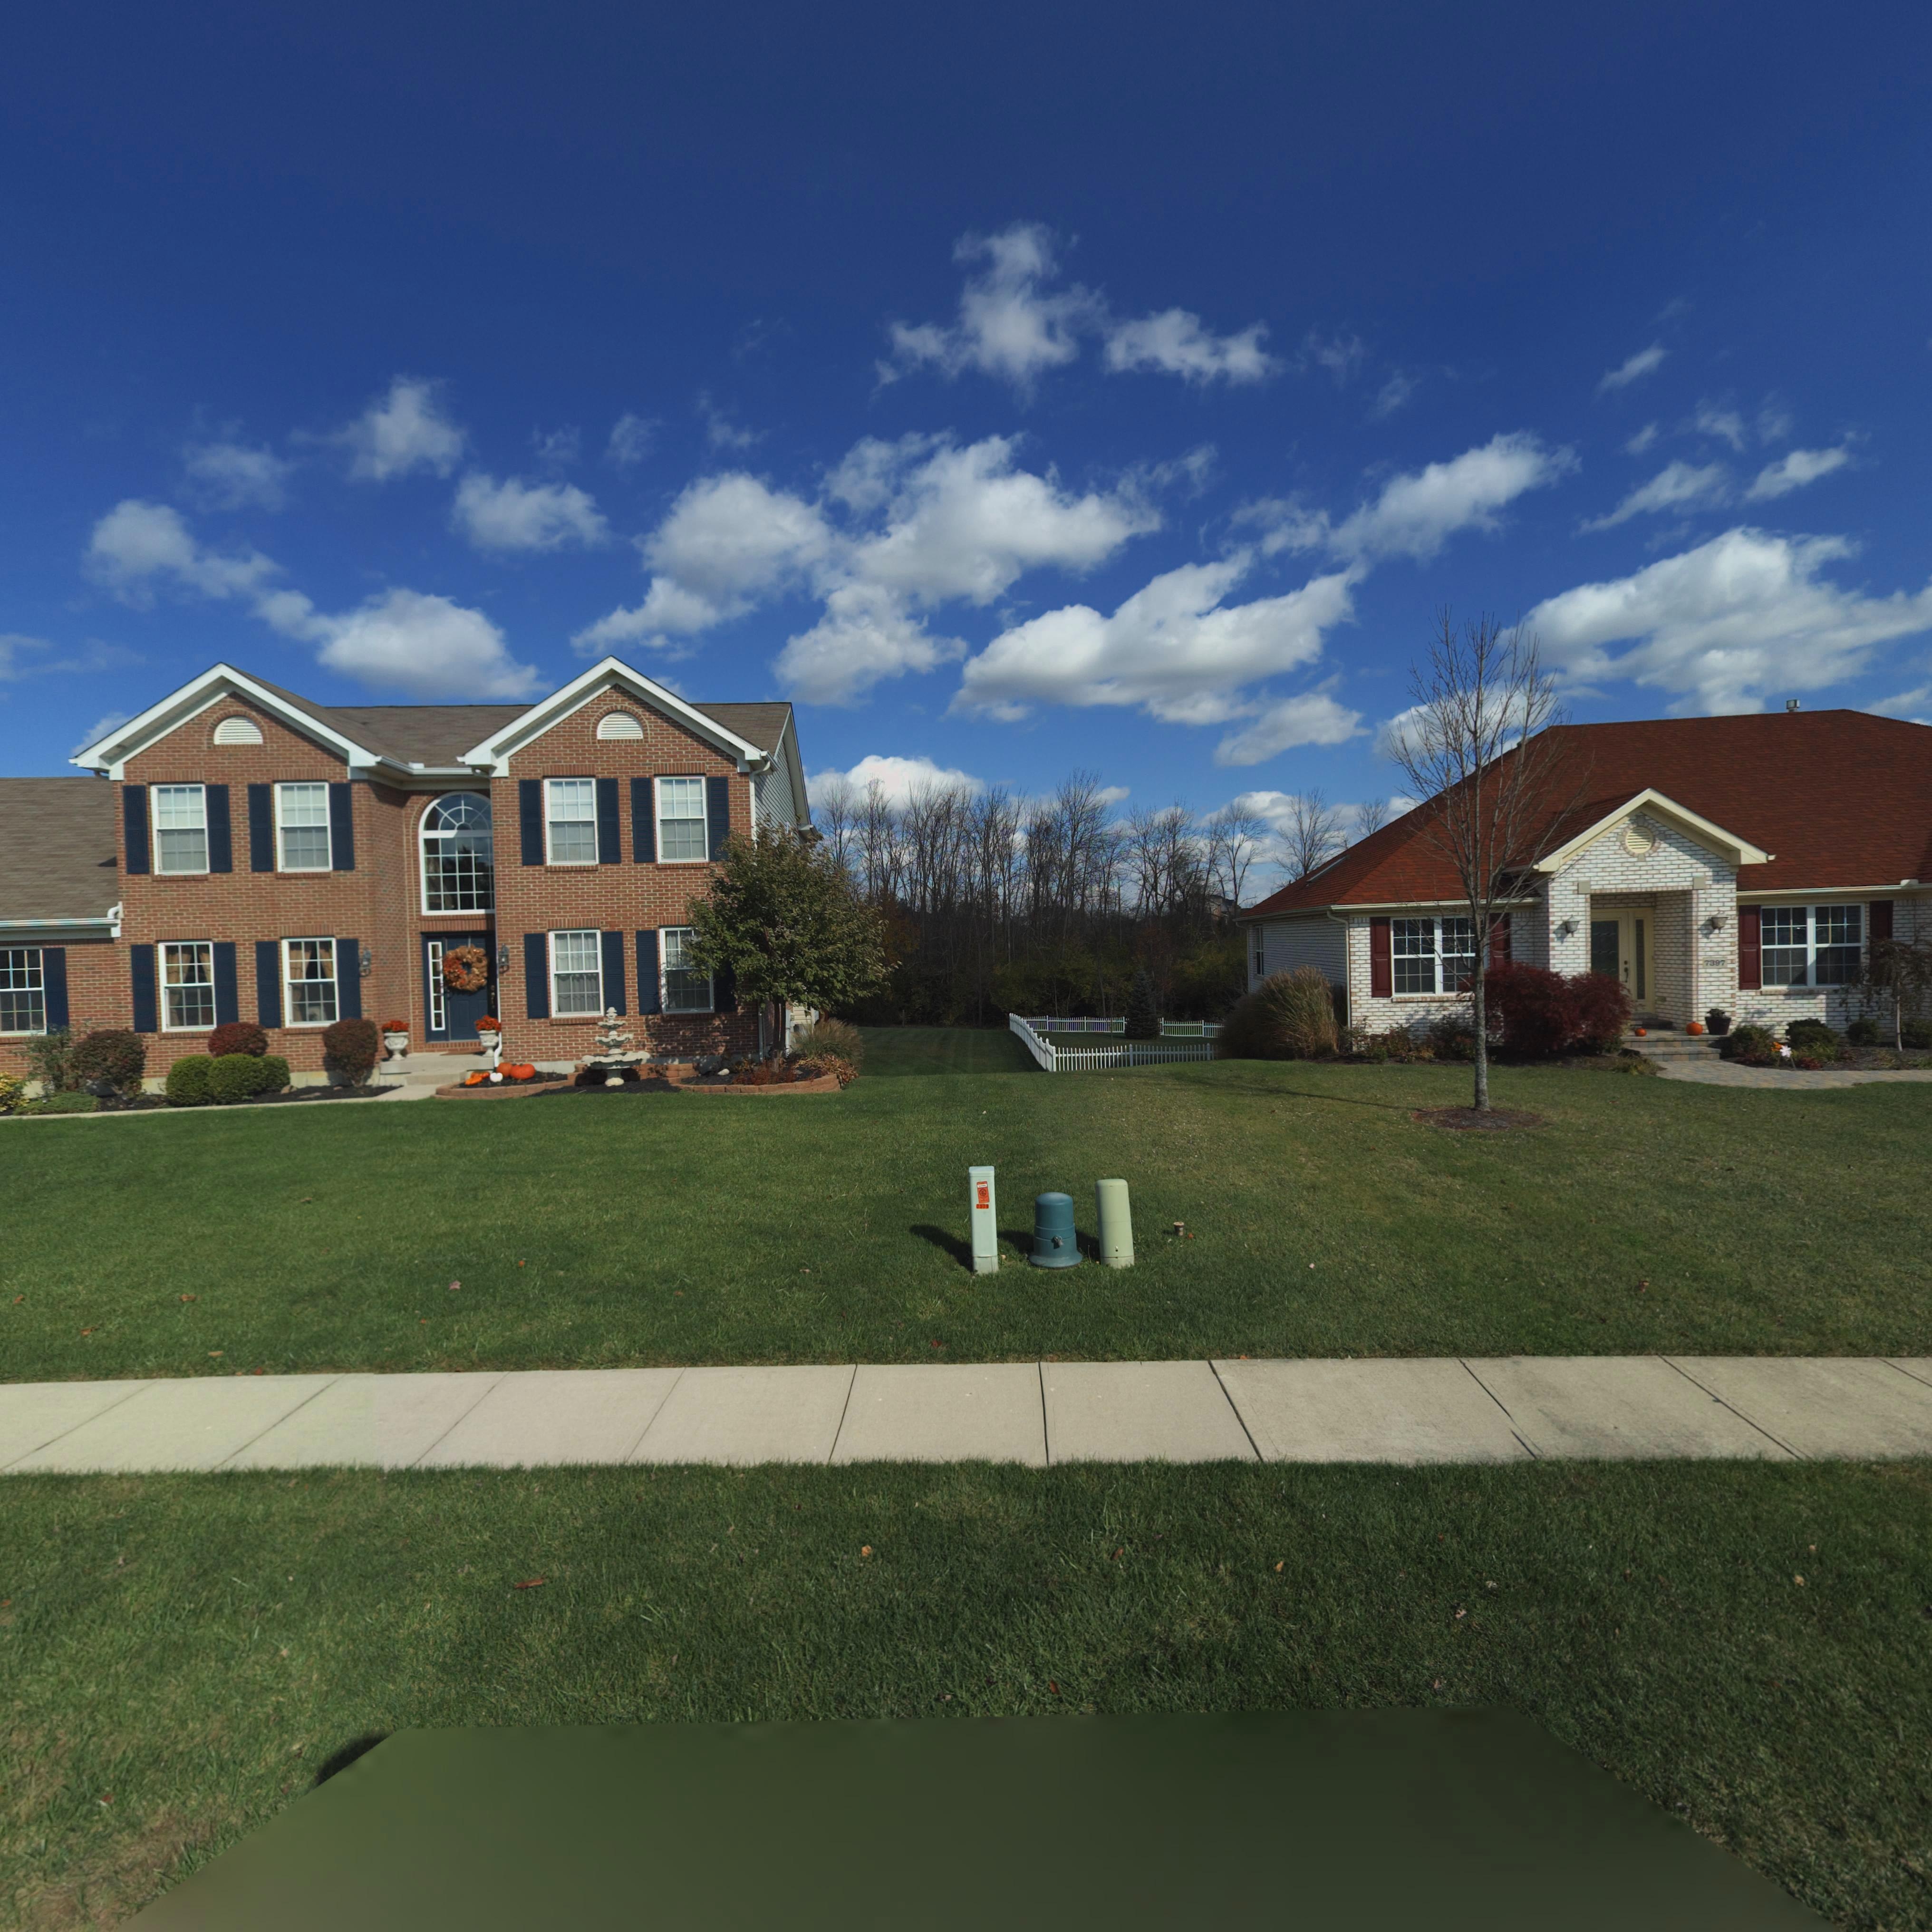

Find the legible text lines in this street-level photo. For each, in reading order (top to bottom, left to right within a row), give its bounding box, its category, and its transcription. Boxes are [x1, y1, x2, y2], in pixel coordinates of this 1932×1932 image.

[1703, 959, 1727, 966] StreetNumber: 7397